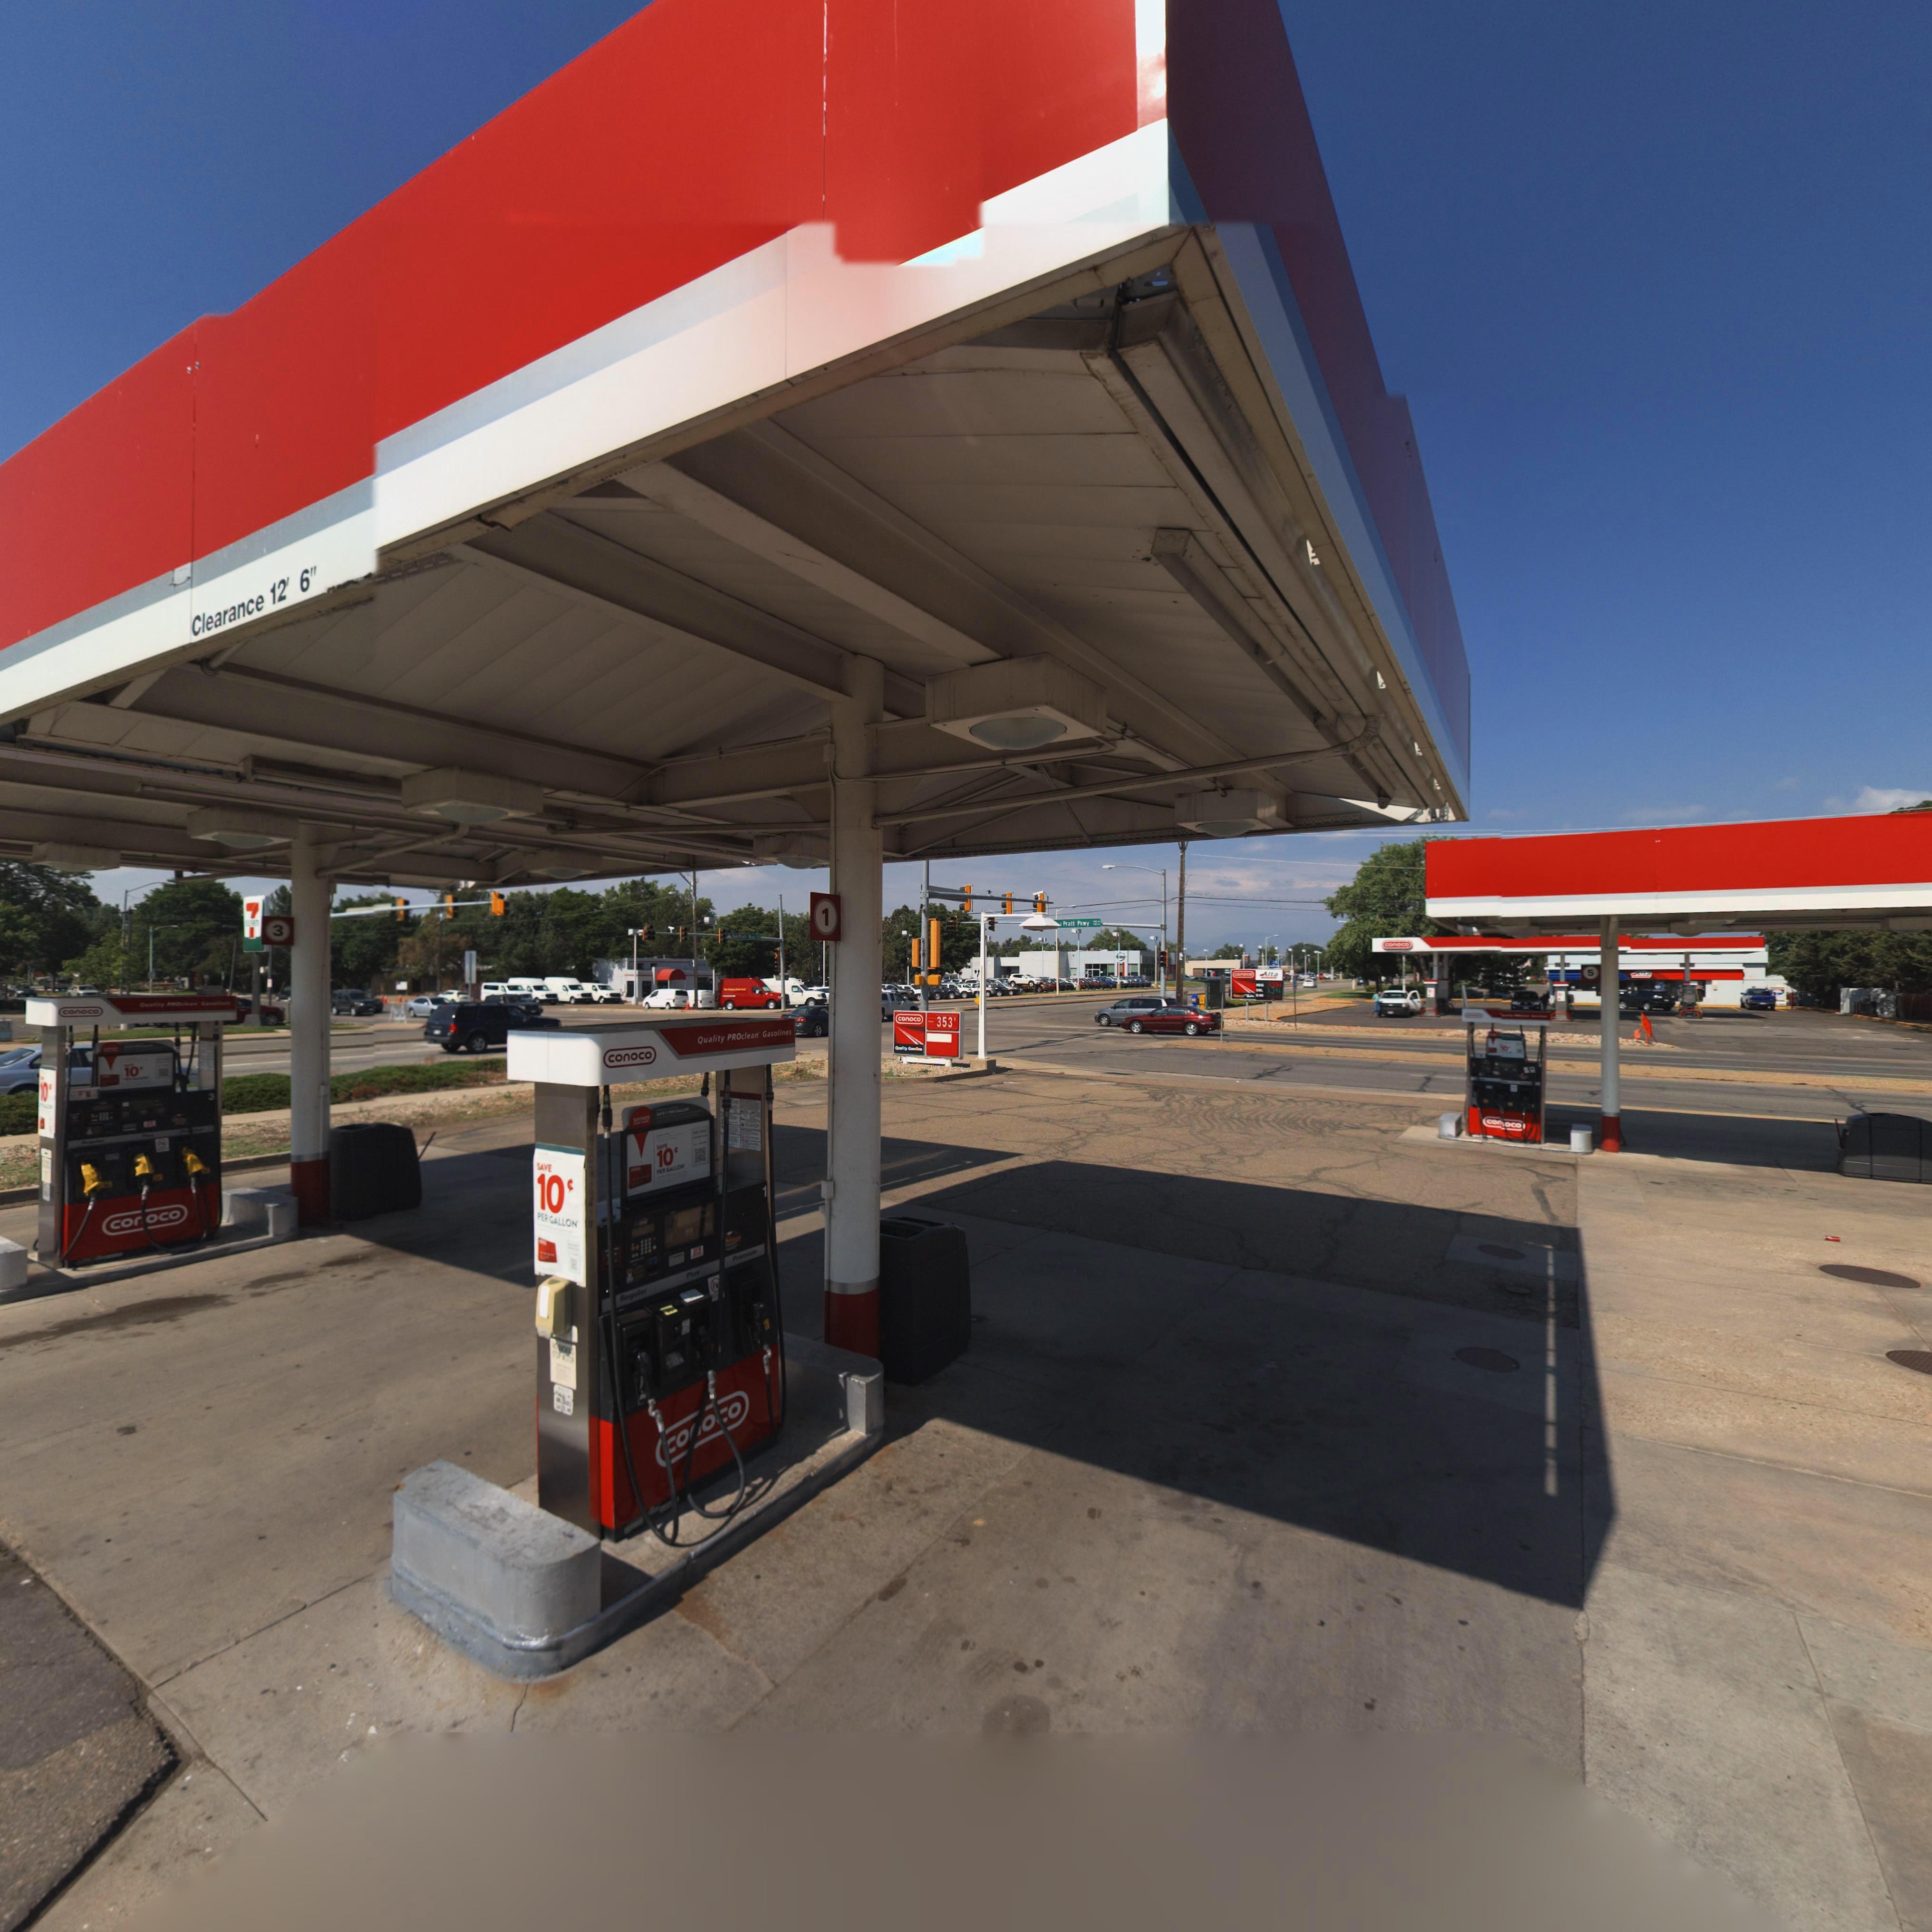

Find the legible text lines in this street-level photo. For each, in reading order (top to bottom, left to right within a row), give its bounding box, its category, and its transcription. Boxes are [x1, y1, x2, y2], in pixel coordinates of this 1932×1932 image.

[246, 901, 259, 938] BusinessName: 7
[1063, 920, 1089, 927] StreetName: Pratt Pkwy
[1384, 942, 1409, 947] BusinessName: conoco
[1234, 973, 1252, 976] BusinessName: *o*o*o
[1259, 971, 1278, 976] BusinessName: Alta
[1632, 970, 1652, 976] BusinessName: Alt*
[62, 1009, 99, 1014] BusinessName: conoco
[898, 1016, 921, 1022] BusinessName: conoco
[608, 1051, 652, 1063] BusinessName: conoco
[1486, 1118, 1522, 1129] BusinessName: co*o*o
[109, 1209, 181, 1230] BusinessName: co*oco
[664, 1400, 742, 1455] BusinessName: co*oco